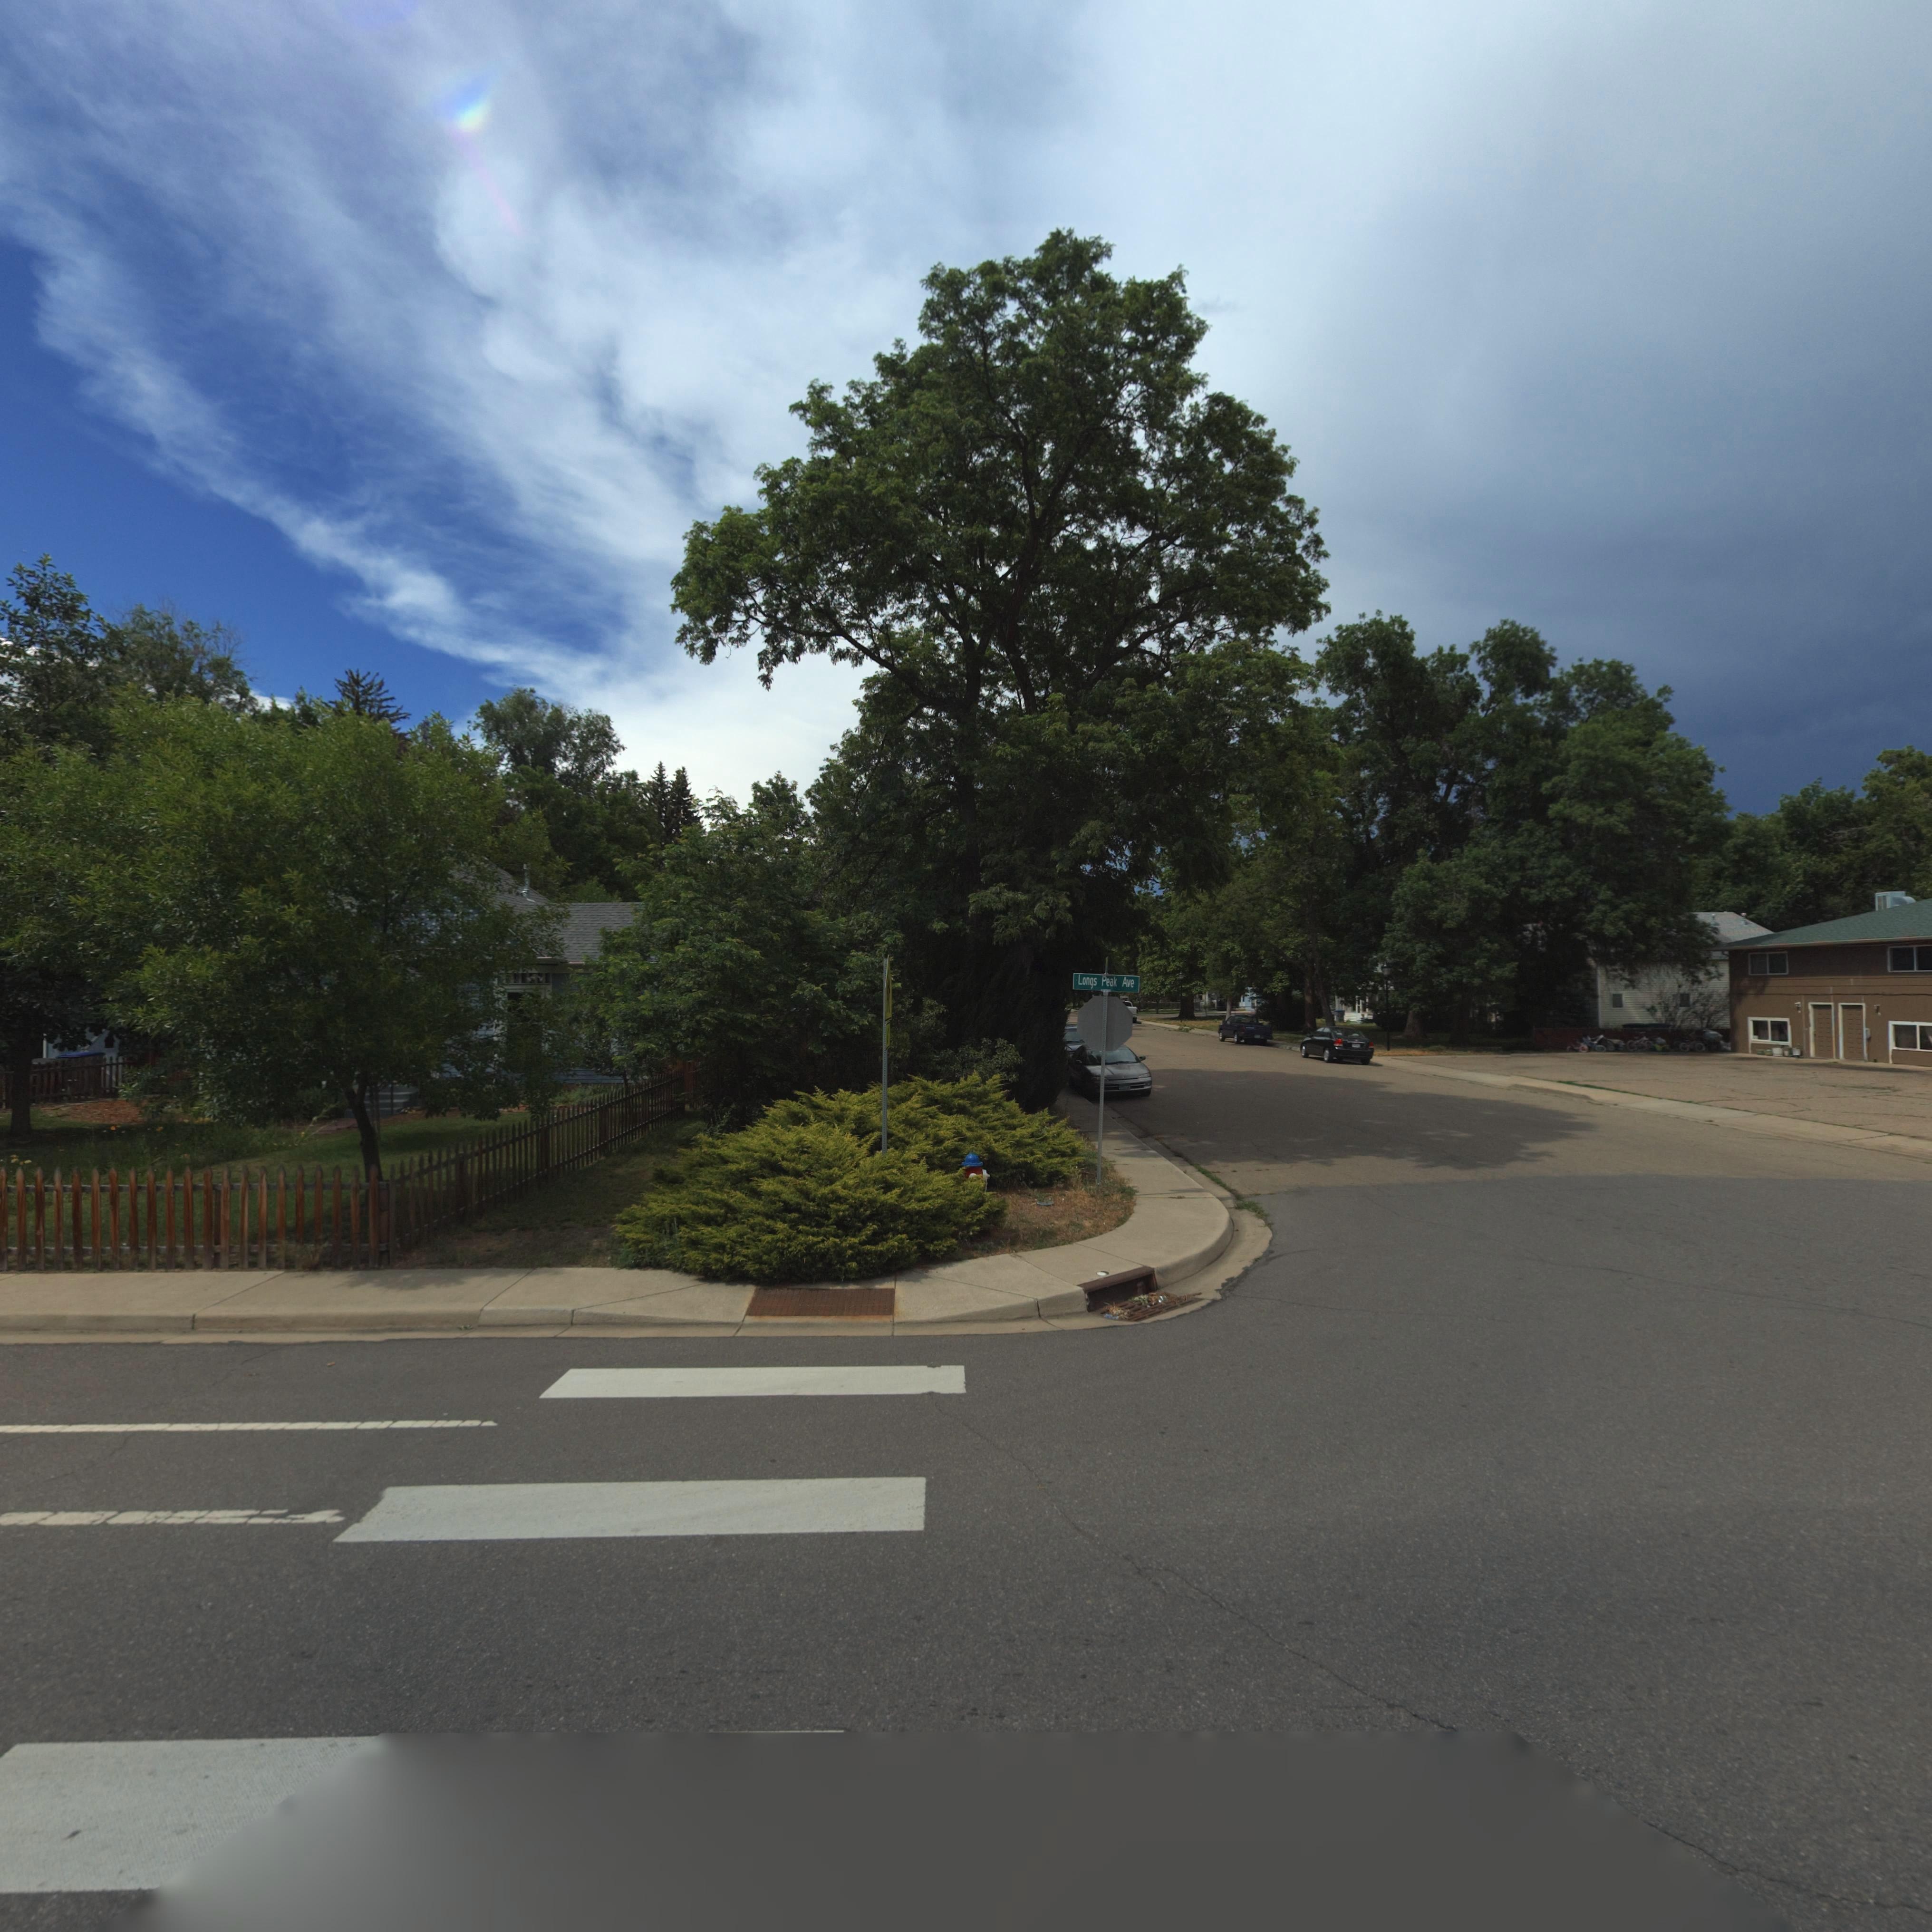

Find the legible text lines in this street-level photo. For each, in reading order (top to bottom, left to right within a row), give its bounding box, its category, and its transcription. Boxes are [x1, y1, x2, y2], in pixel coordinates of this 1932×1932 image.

[1077, 974, 1135, 989] StreetName: Longs Peak Ave